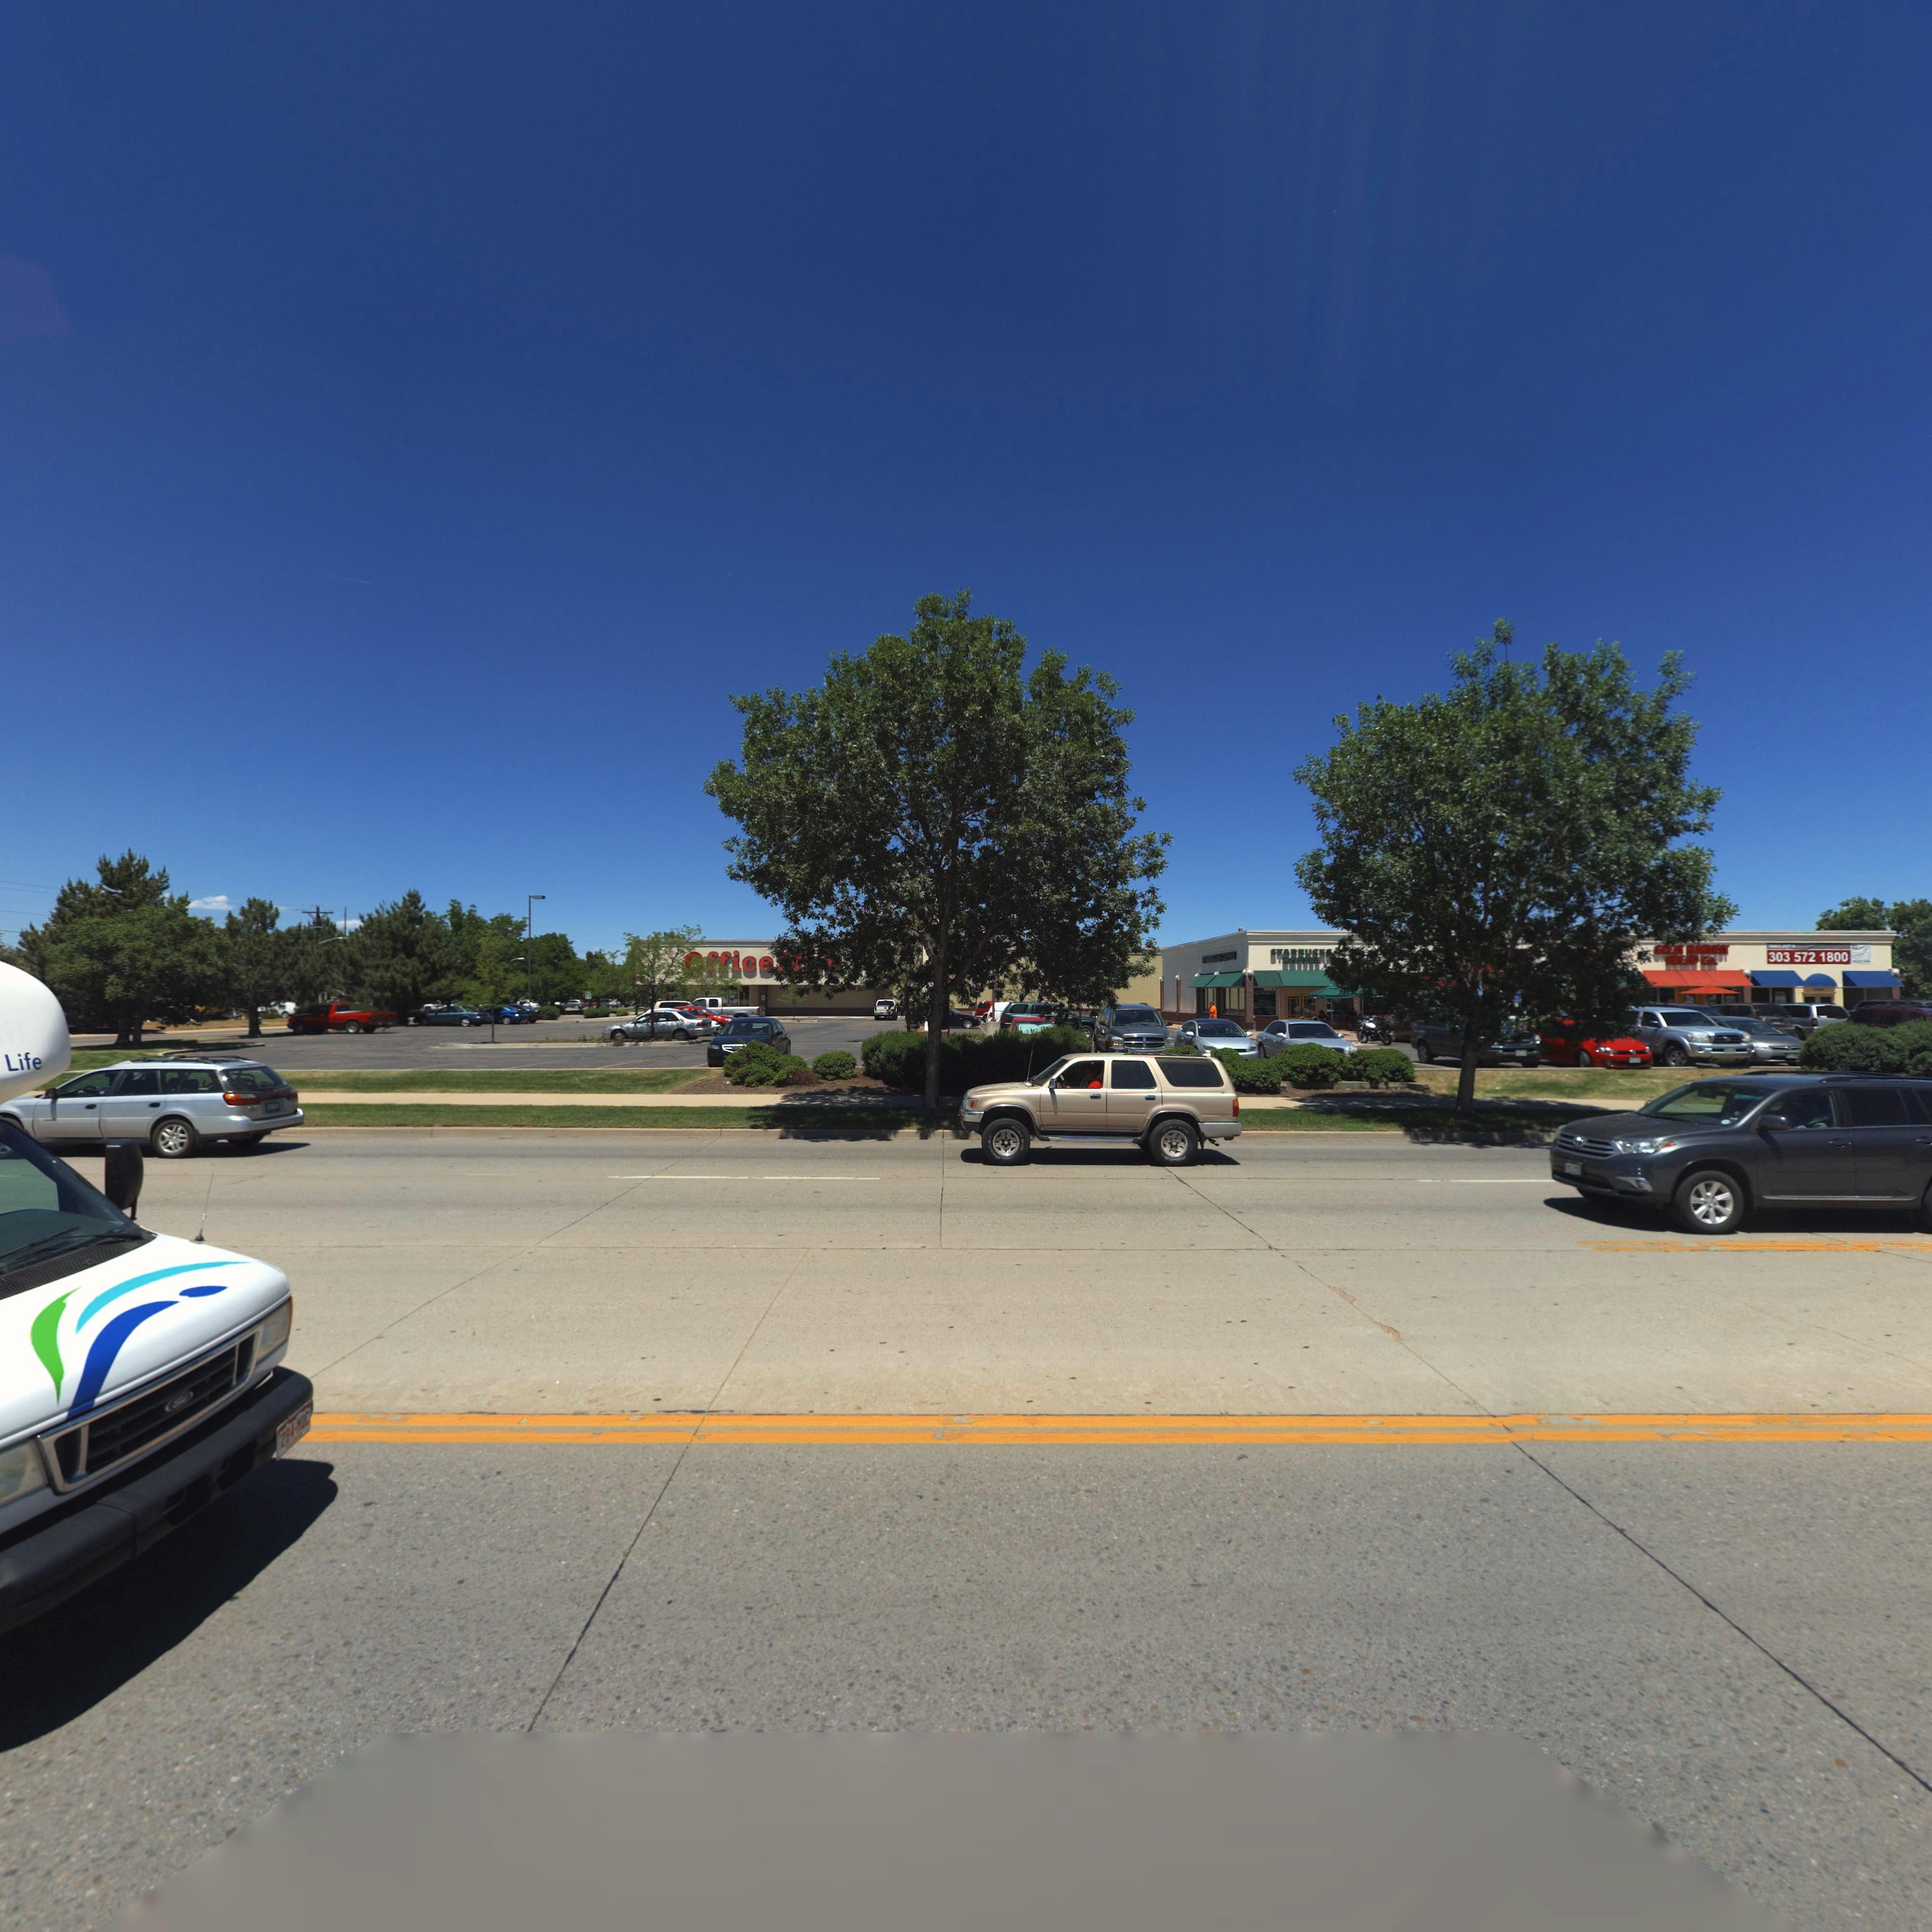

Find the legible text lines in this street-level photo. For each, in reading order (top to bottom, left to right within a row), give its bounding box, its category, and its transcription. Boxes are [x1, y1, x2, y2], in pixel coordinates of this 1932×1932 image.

[684, 950, 843, 973] BusinessName: **ice***
[1201, 951, 1236, 964] BusinessName: ********* COFFEE
[1271, 948, 1332, 956] BusinessName: STARBUCKS
[1282, 956, 1321, 964] BusinessName: COFFEE
[1653, 943, 1730, 955] BusinessName: **EAT H***EST
[1665, 955, 1719, 966] BusinessName: **EAD Co.